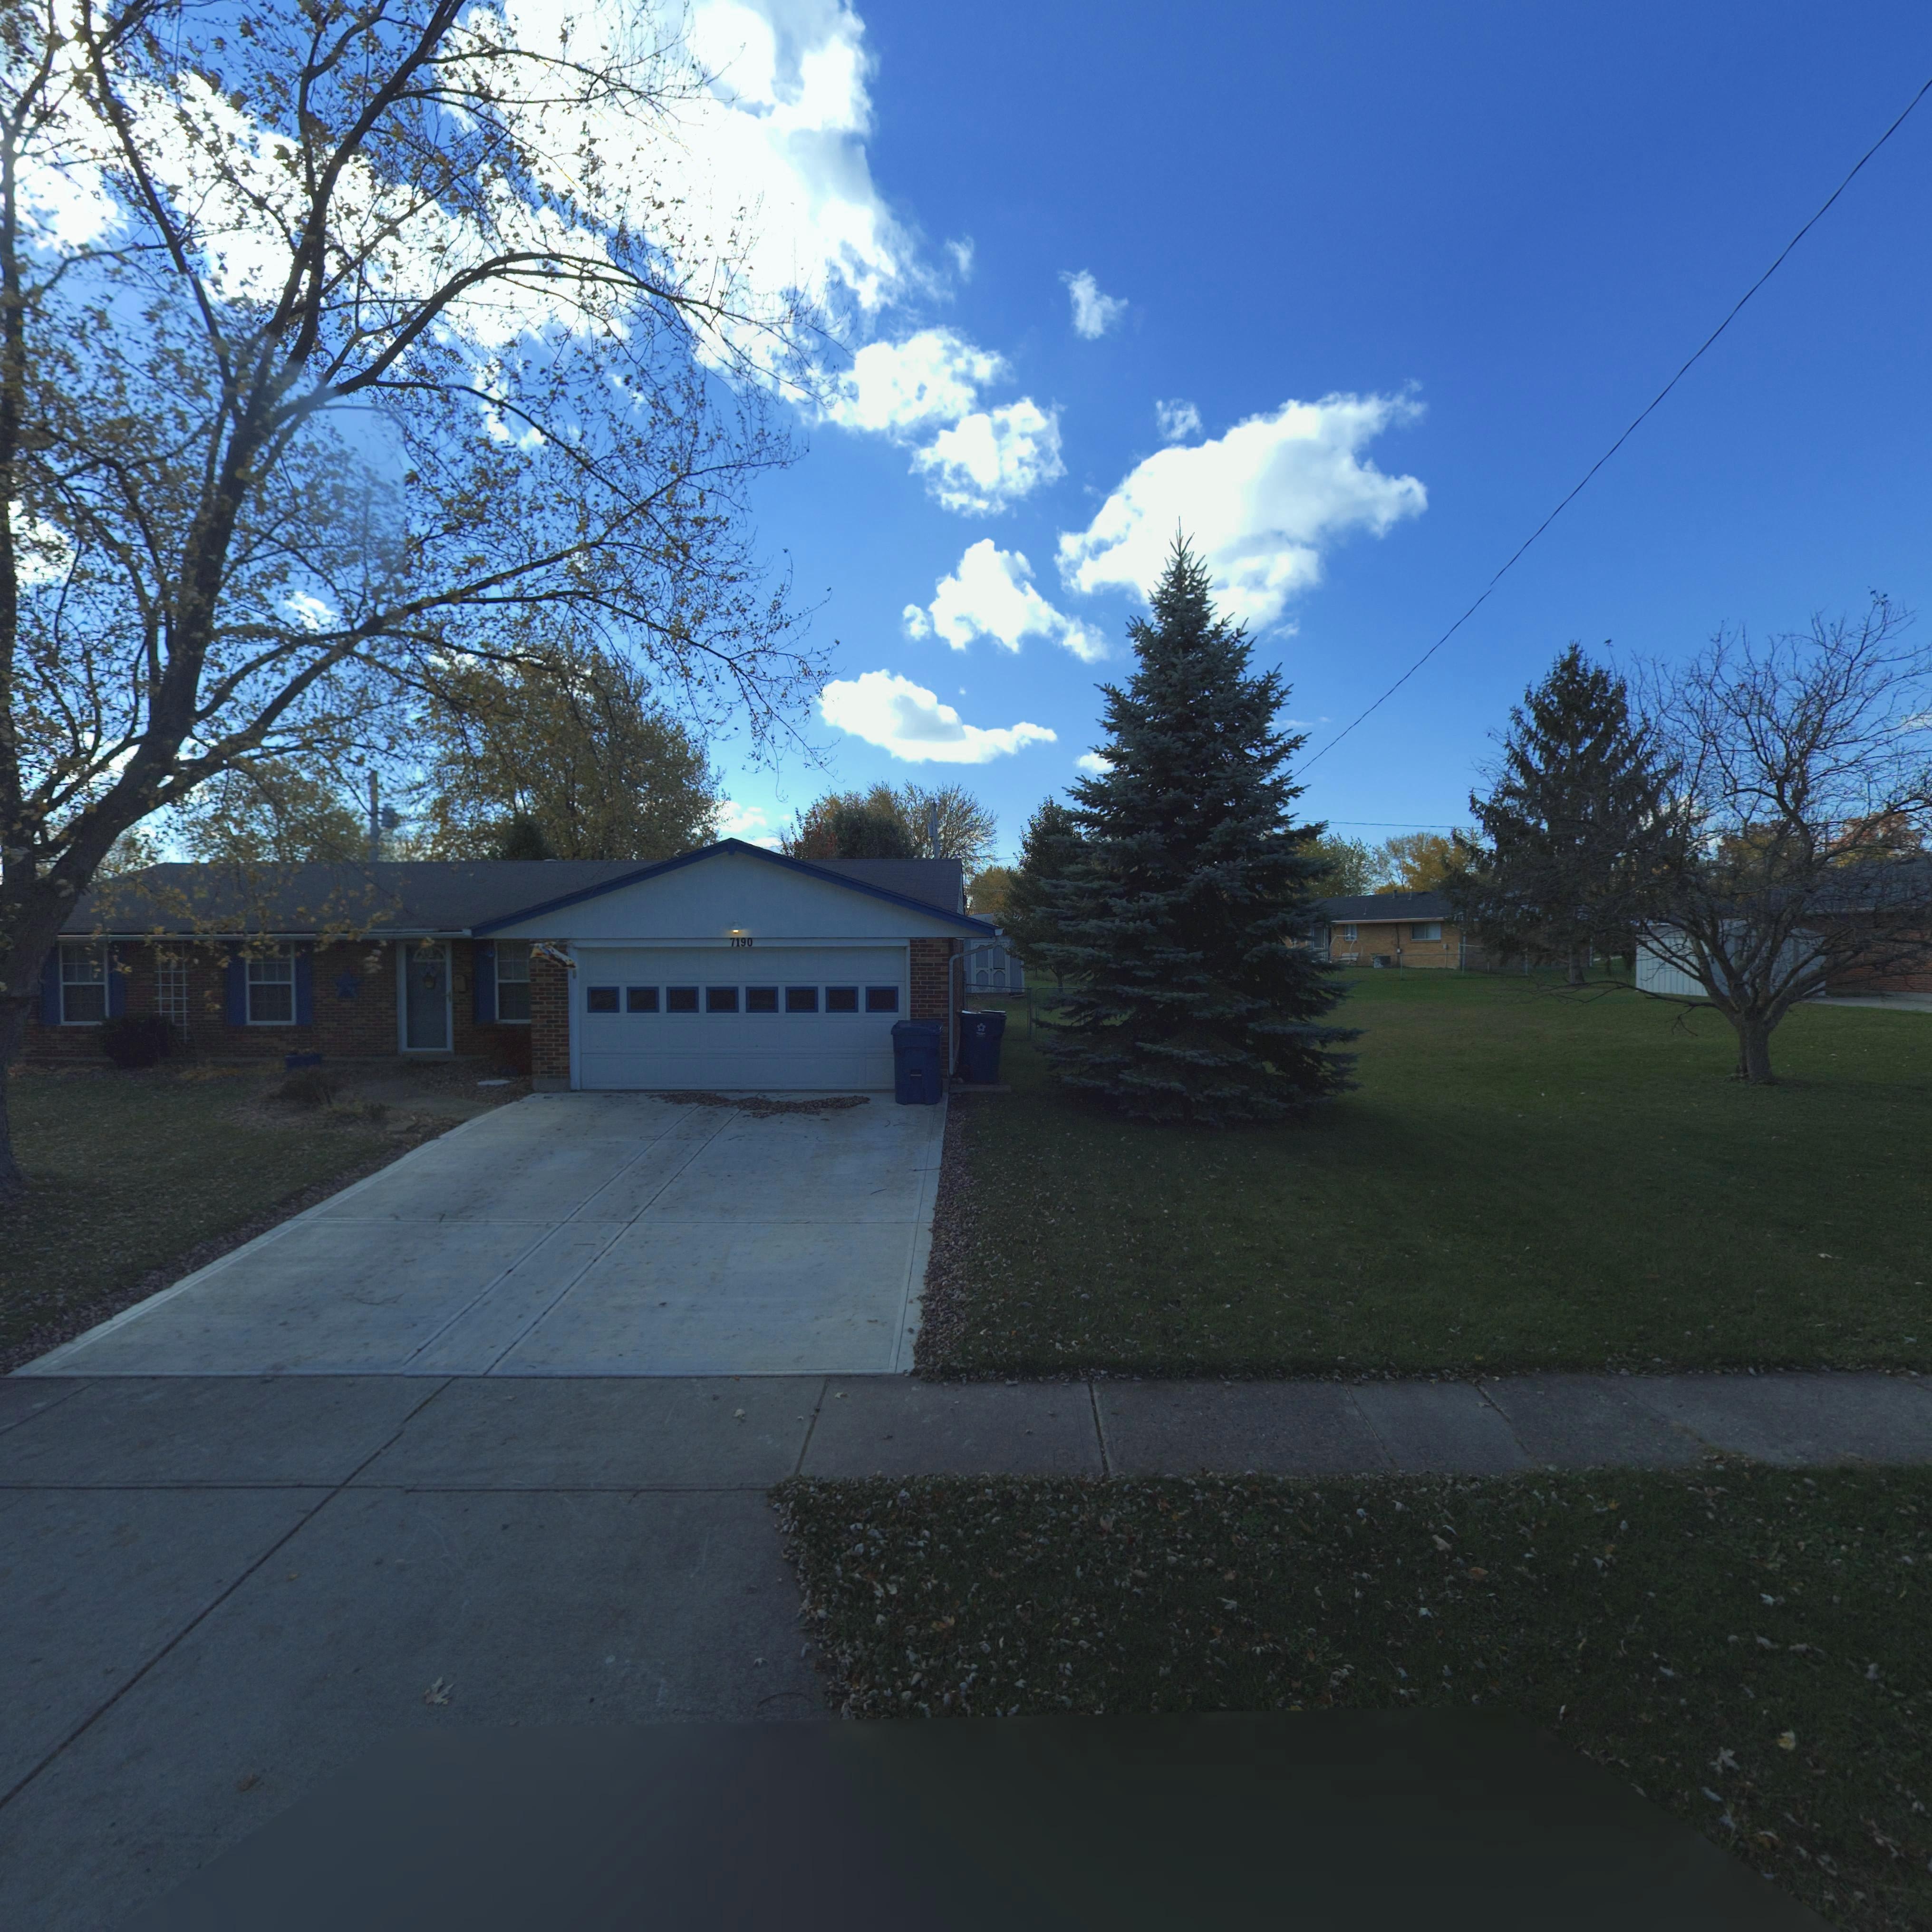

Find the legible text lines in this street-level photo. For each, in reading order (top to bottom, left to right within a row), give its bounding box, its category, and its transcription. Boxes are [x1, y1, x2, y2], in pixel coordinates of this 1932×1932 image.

[729, 936, 754, 948] StreetNumber: 7190